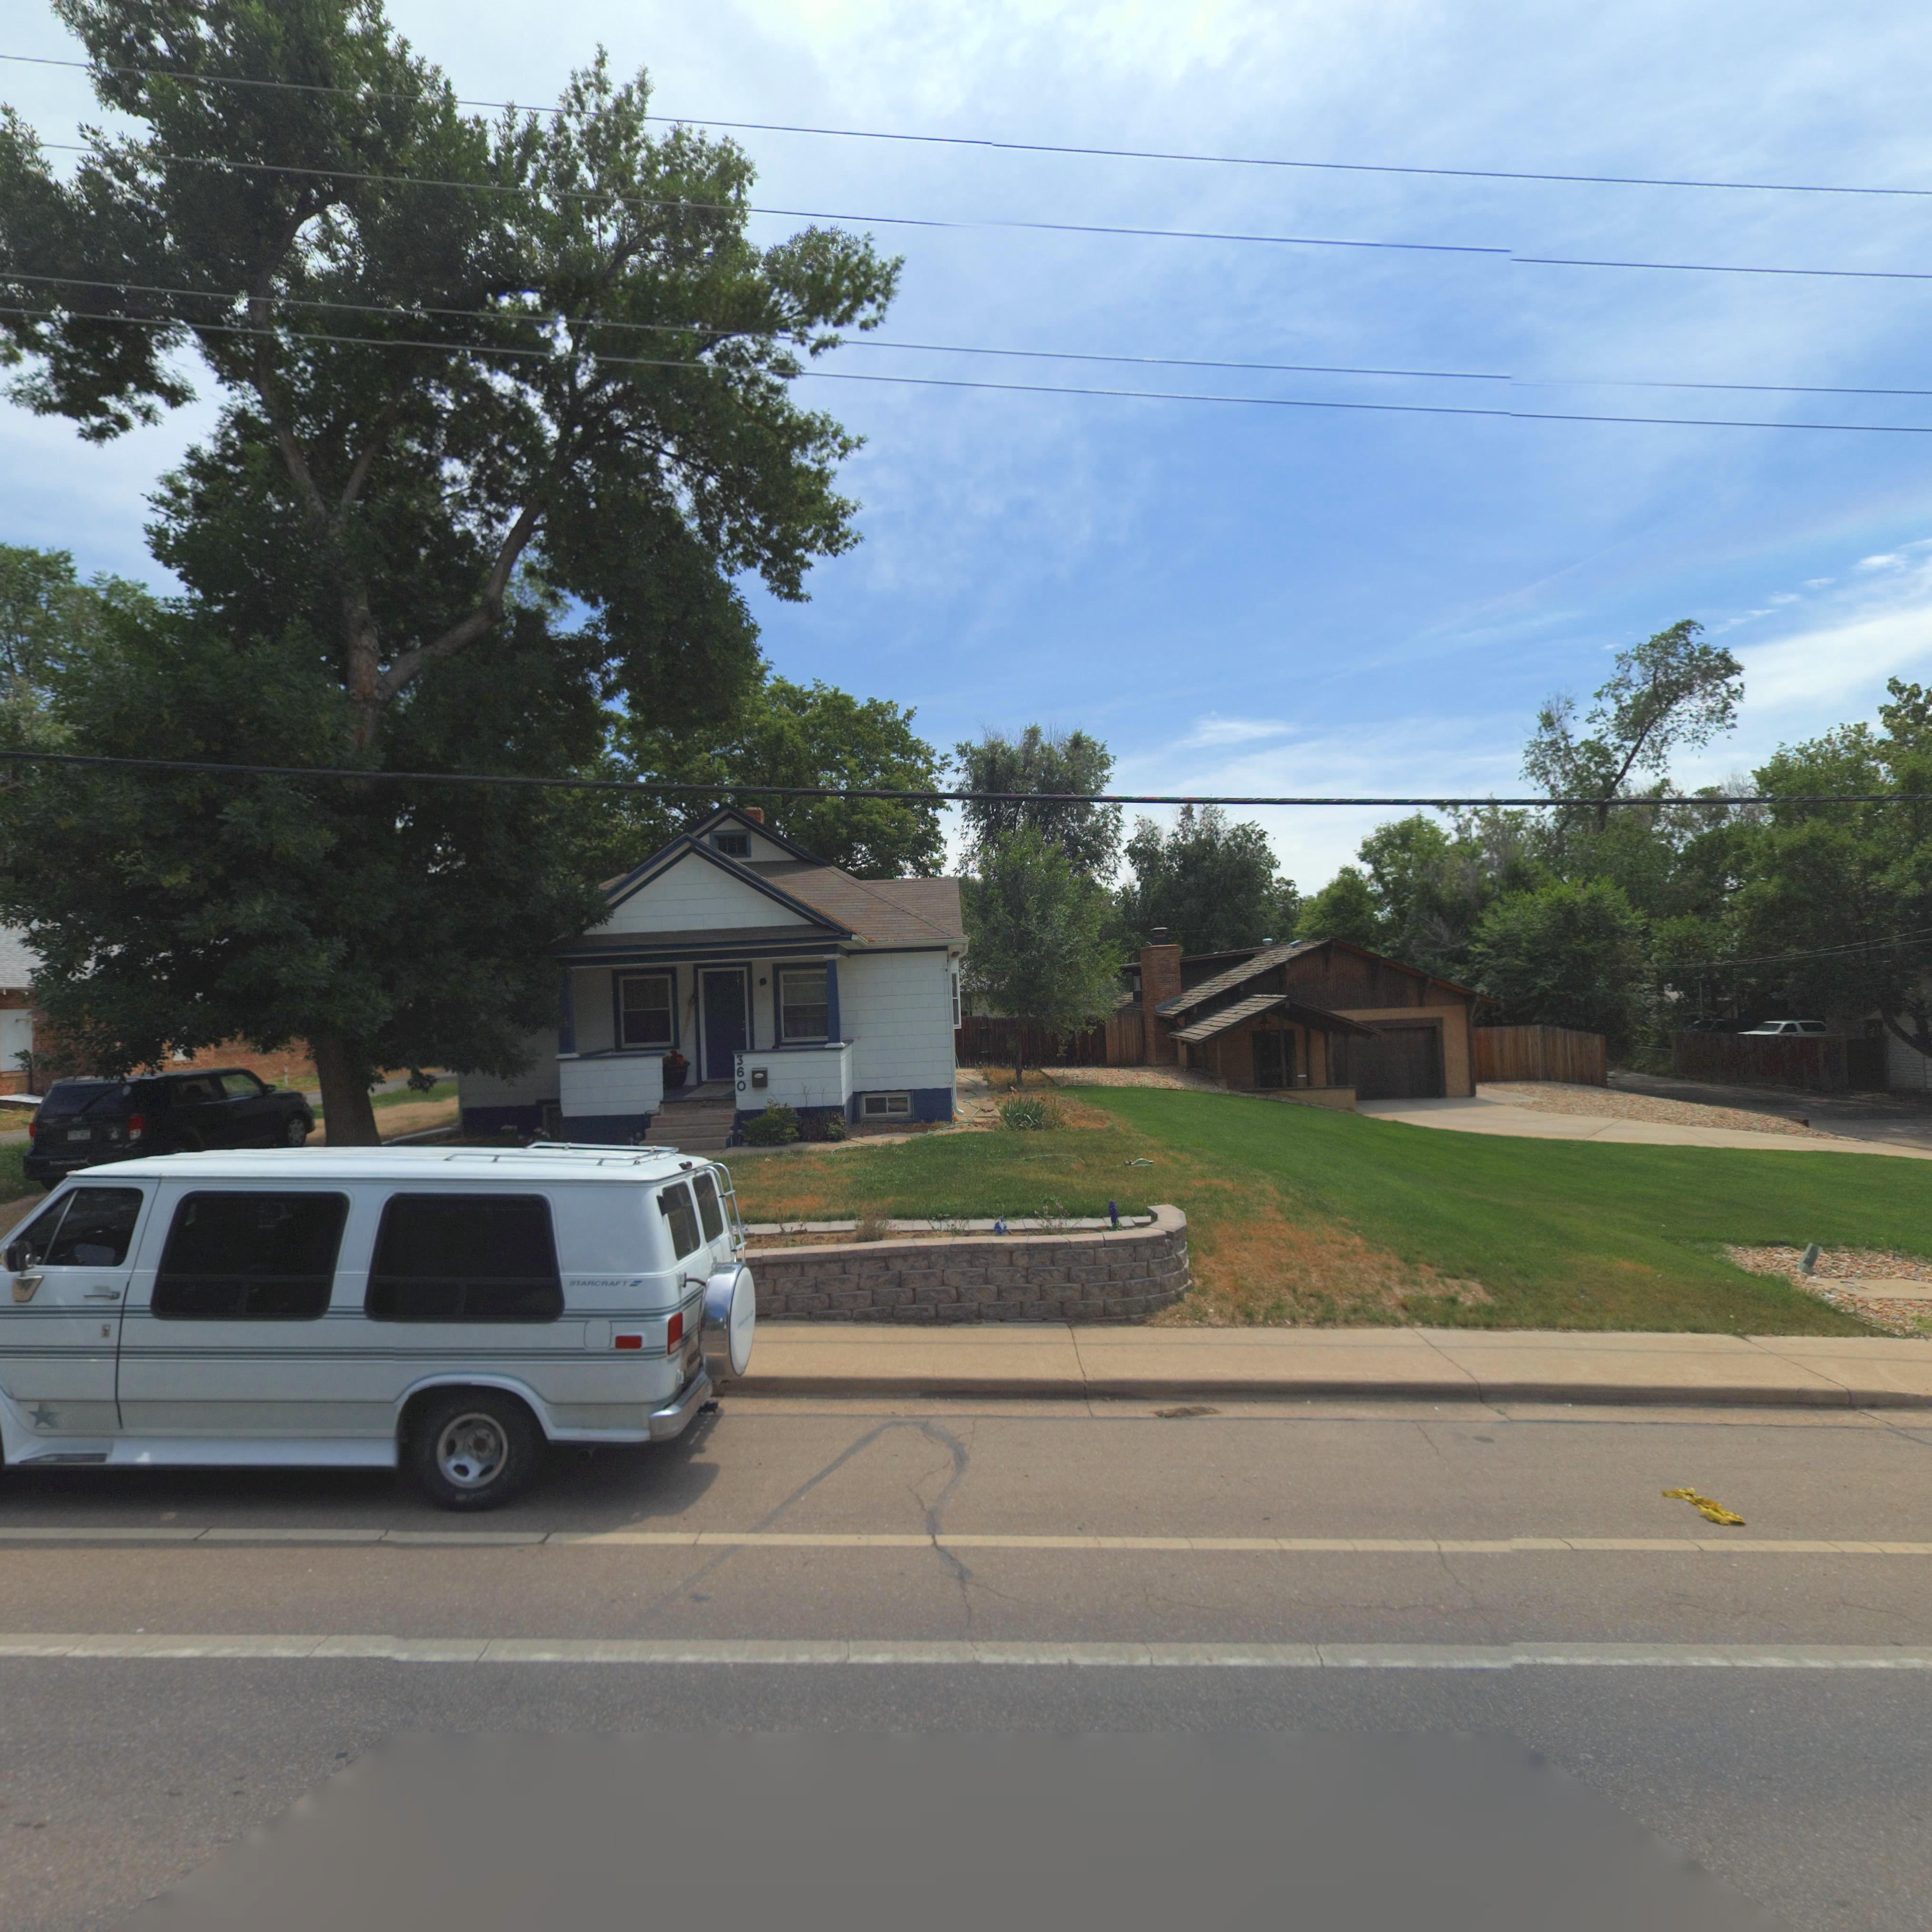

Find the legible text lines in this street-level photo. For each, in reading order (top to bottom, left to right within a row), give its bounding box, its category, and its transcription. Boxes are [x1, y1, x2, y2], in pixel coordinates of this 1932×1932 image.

[733, 1052, 747, 1095] StreetNumber: 360